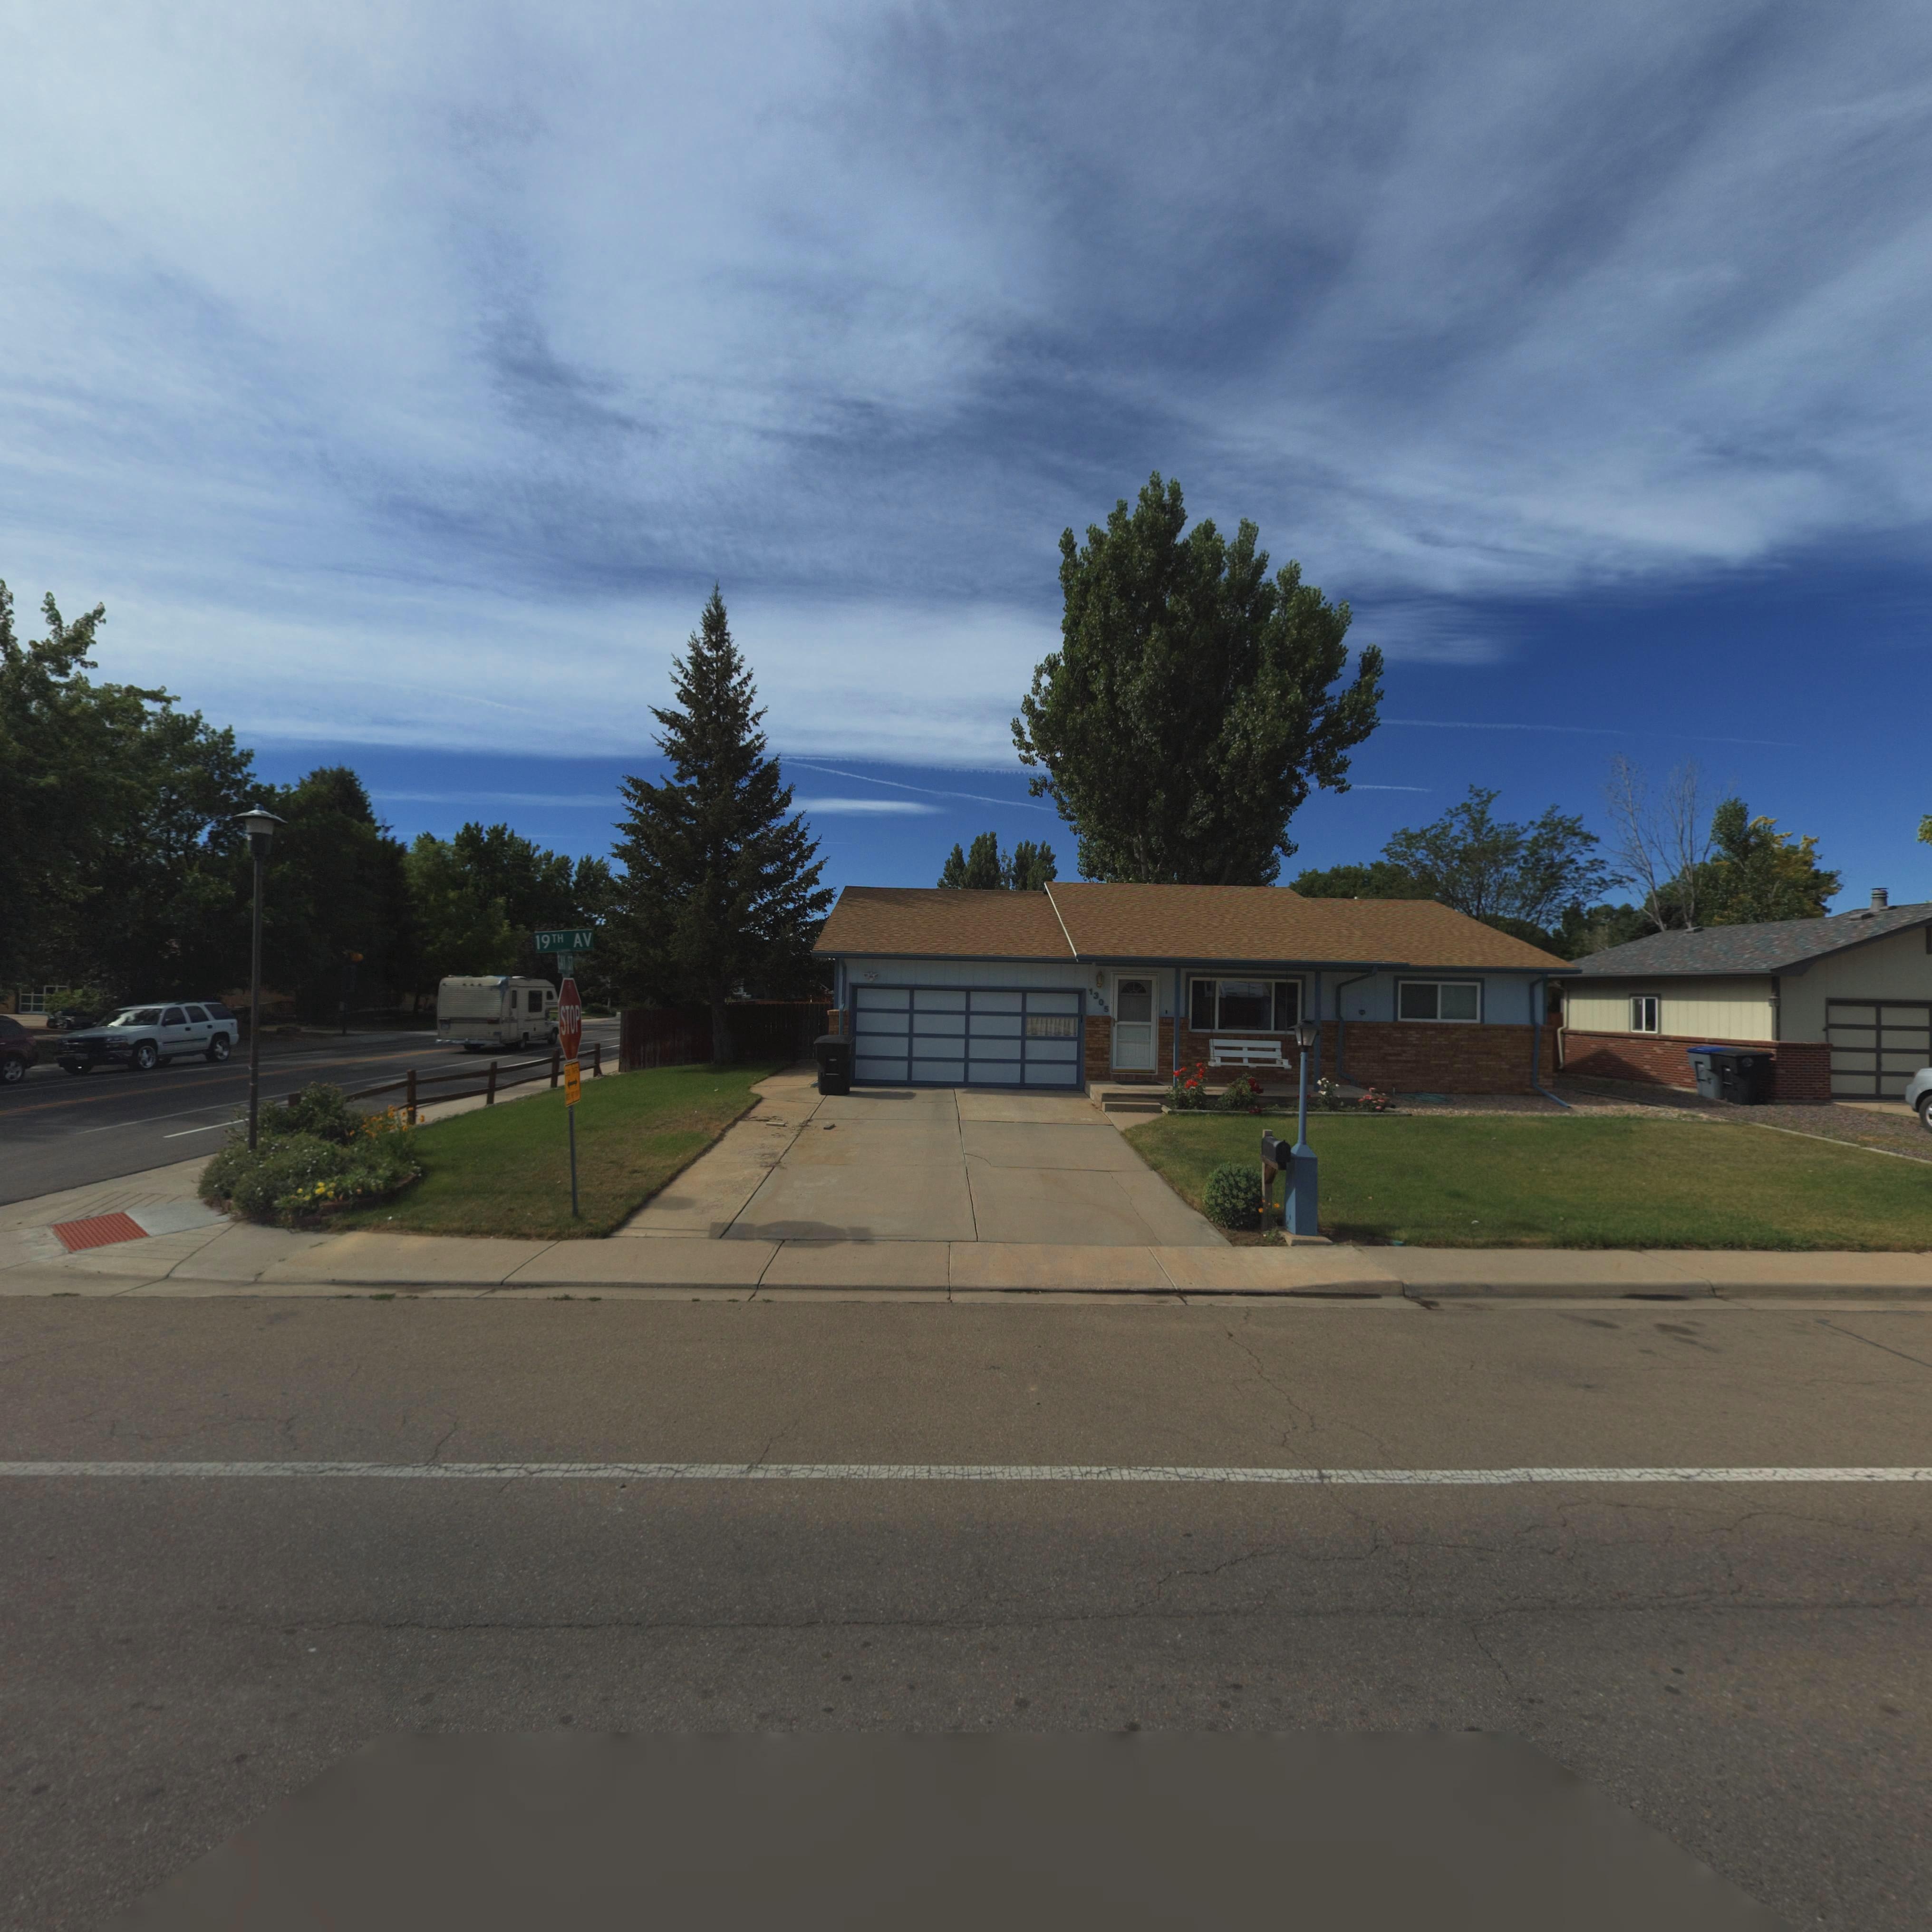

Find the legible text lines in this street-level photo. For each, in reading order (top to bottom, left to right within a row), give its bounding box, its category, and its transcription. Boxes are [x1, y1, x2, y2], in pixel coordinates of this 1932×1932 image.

[535, 931, 592, 950] StreetName: 19TH AV
[558, 954, 573, 971] StreetName: GAY ST
[1088, 987, 1109, 1012] StreetNumber: 1305